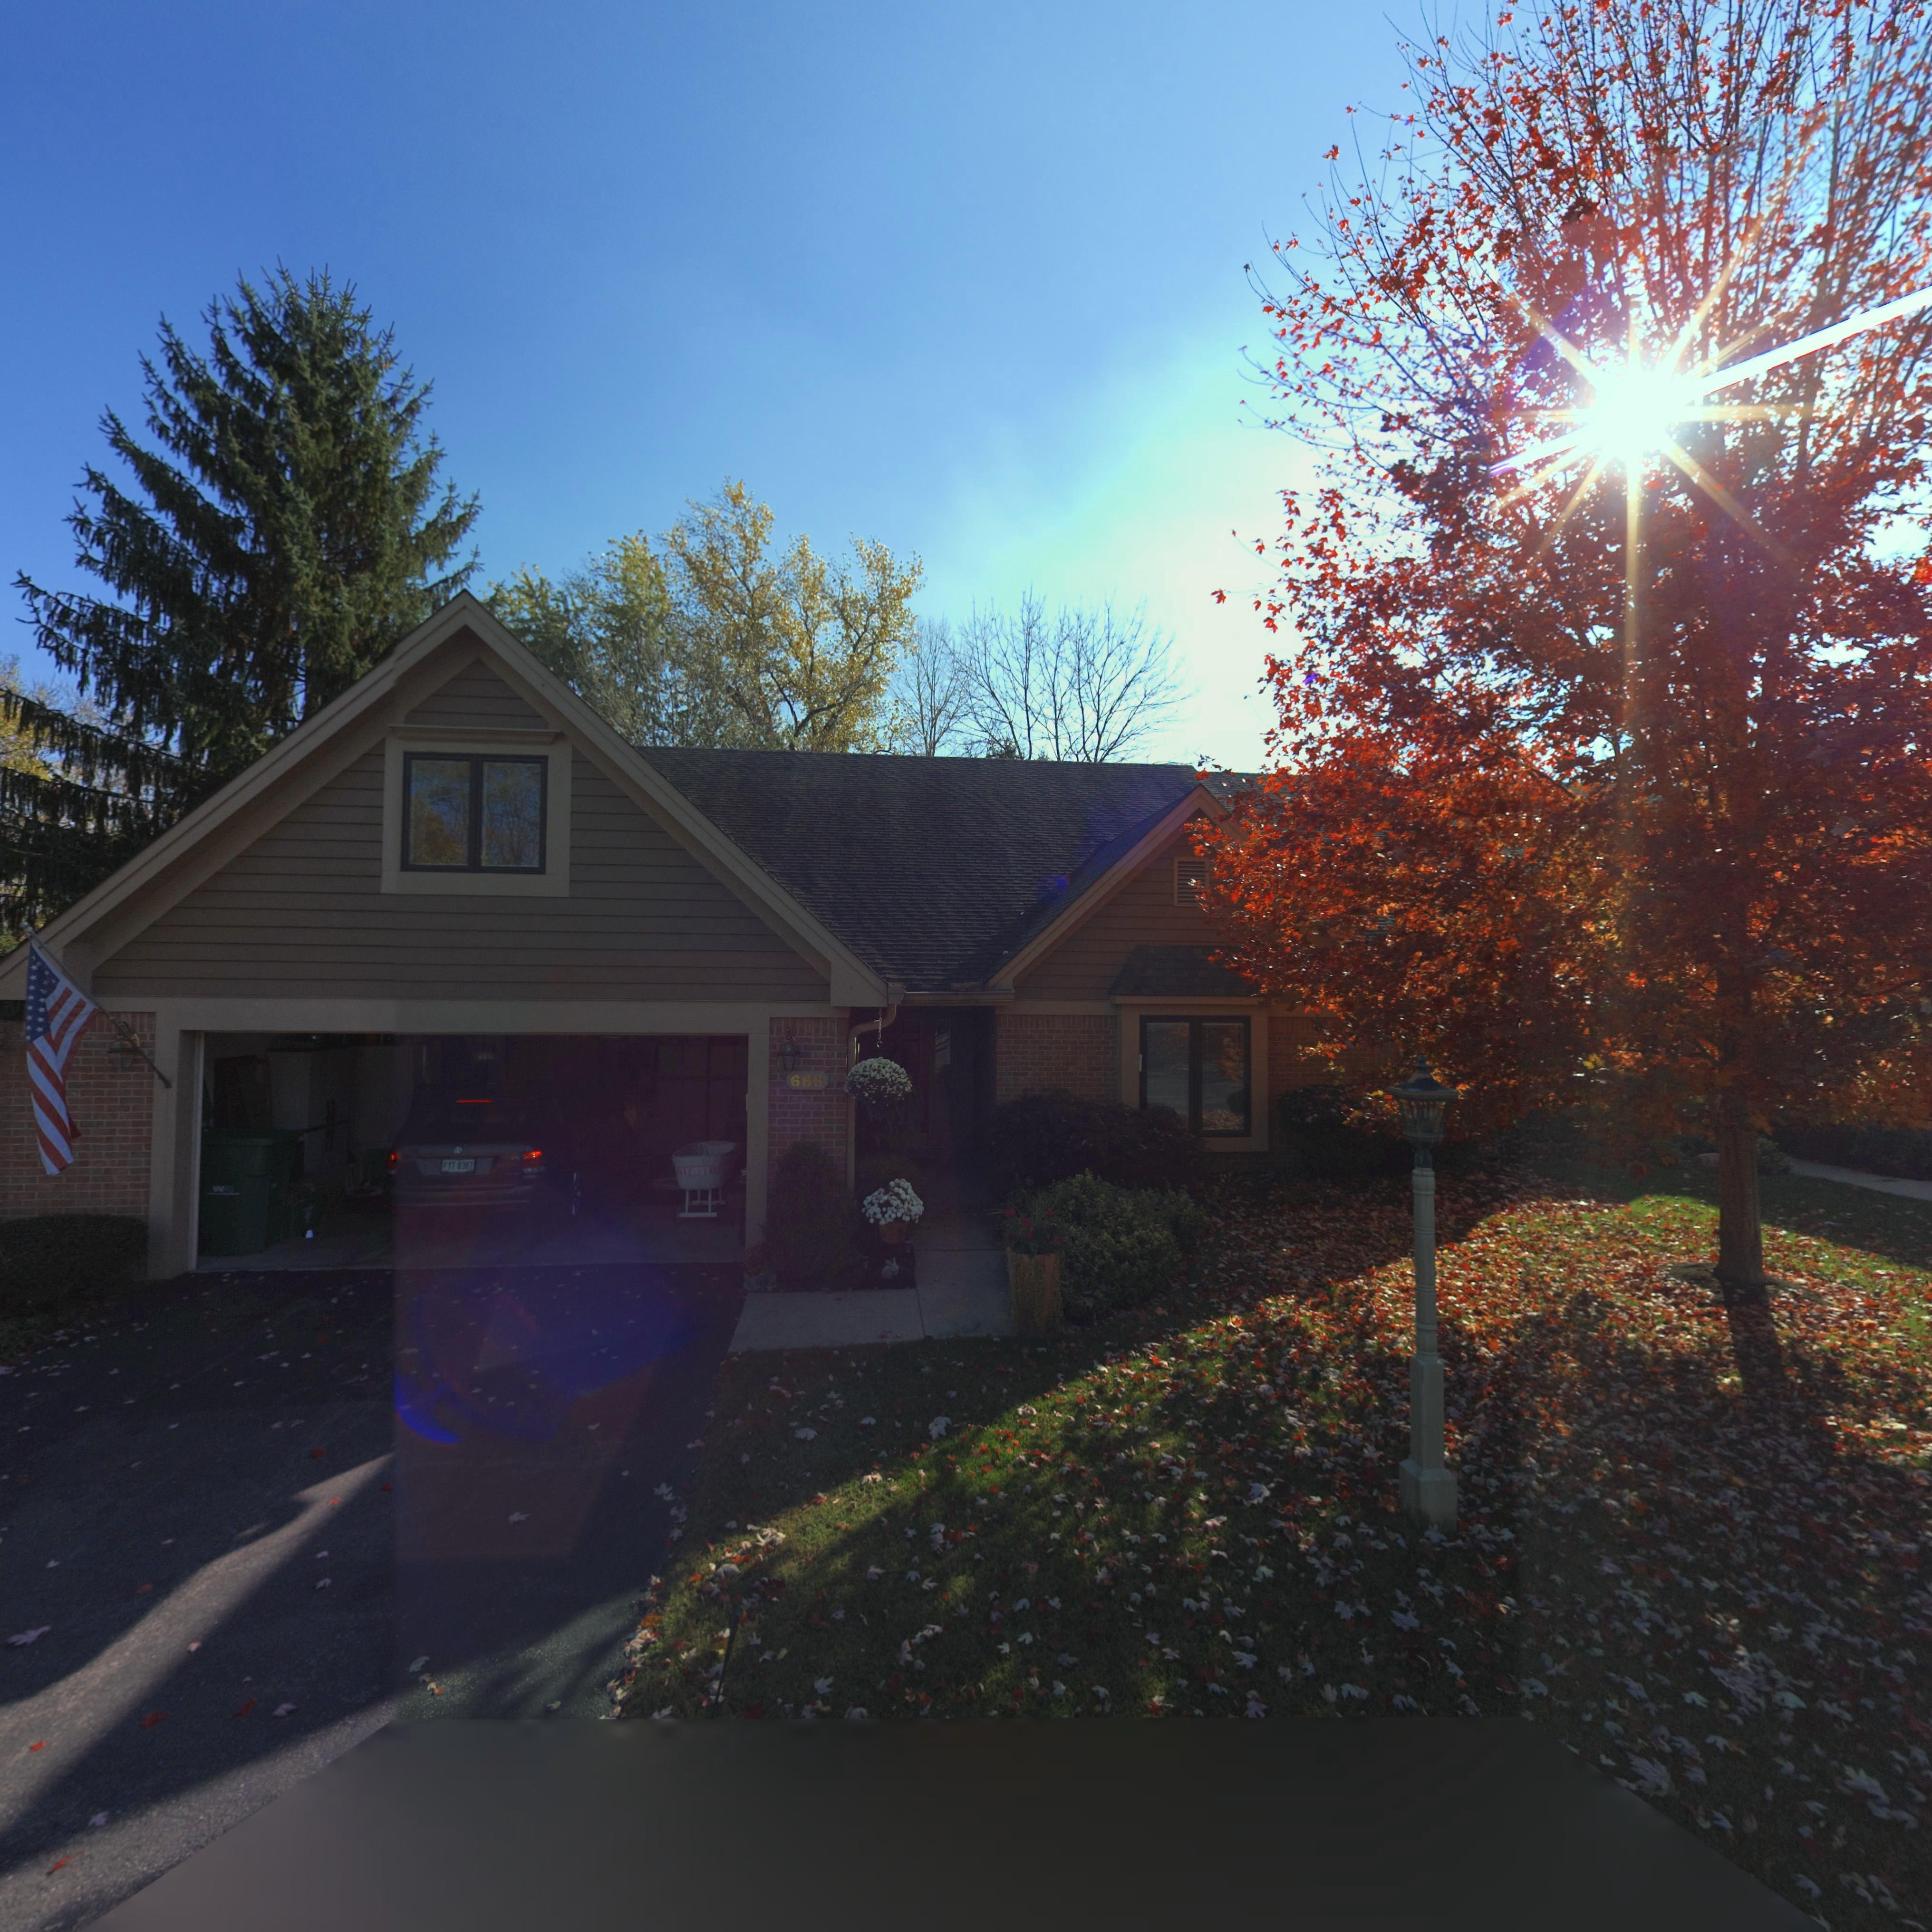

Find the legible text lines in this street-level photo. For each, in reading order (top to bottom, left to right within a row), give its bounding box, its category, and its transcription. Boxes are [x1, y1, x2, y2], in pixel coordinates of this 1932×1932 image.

[789, 1074, 824, 1090] StreetNumber: 666